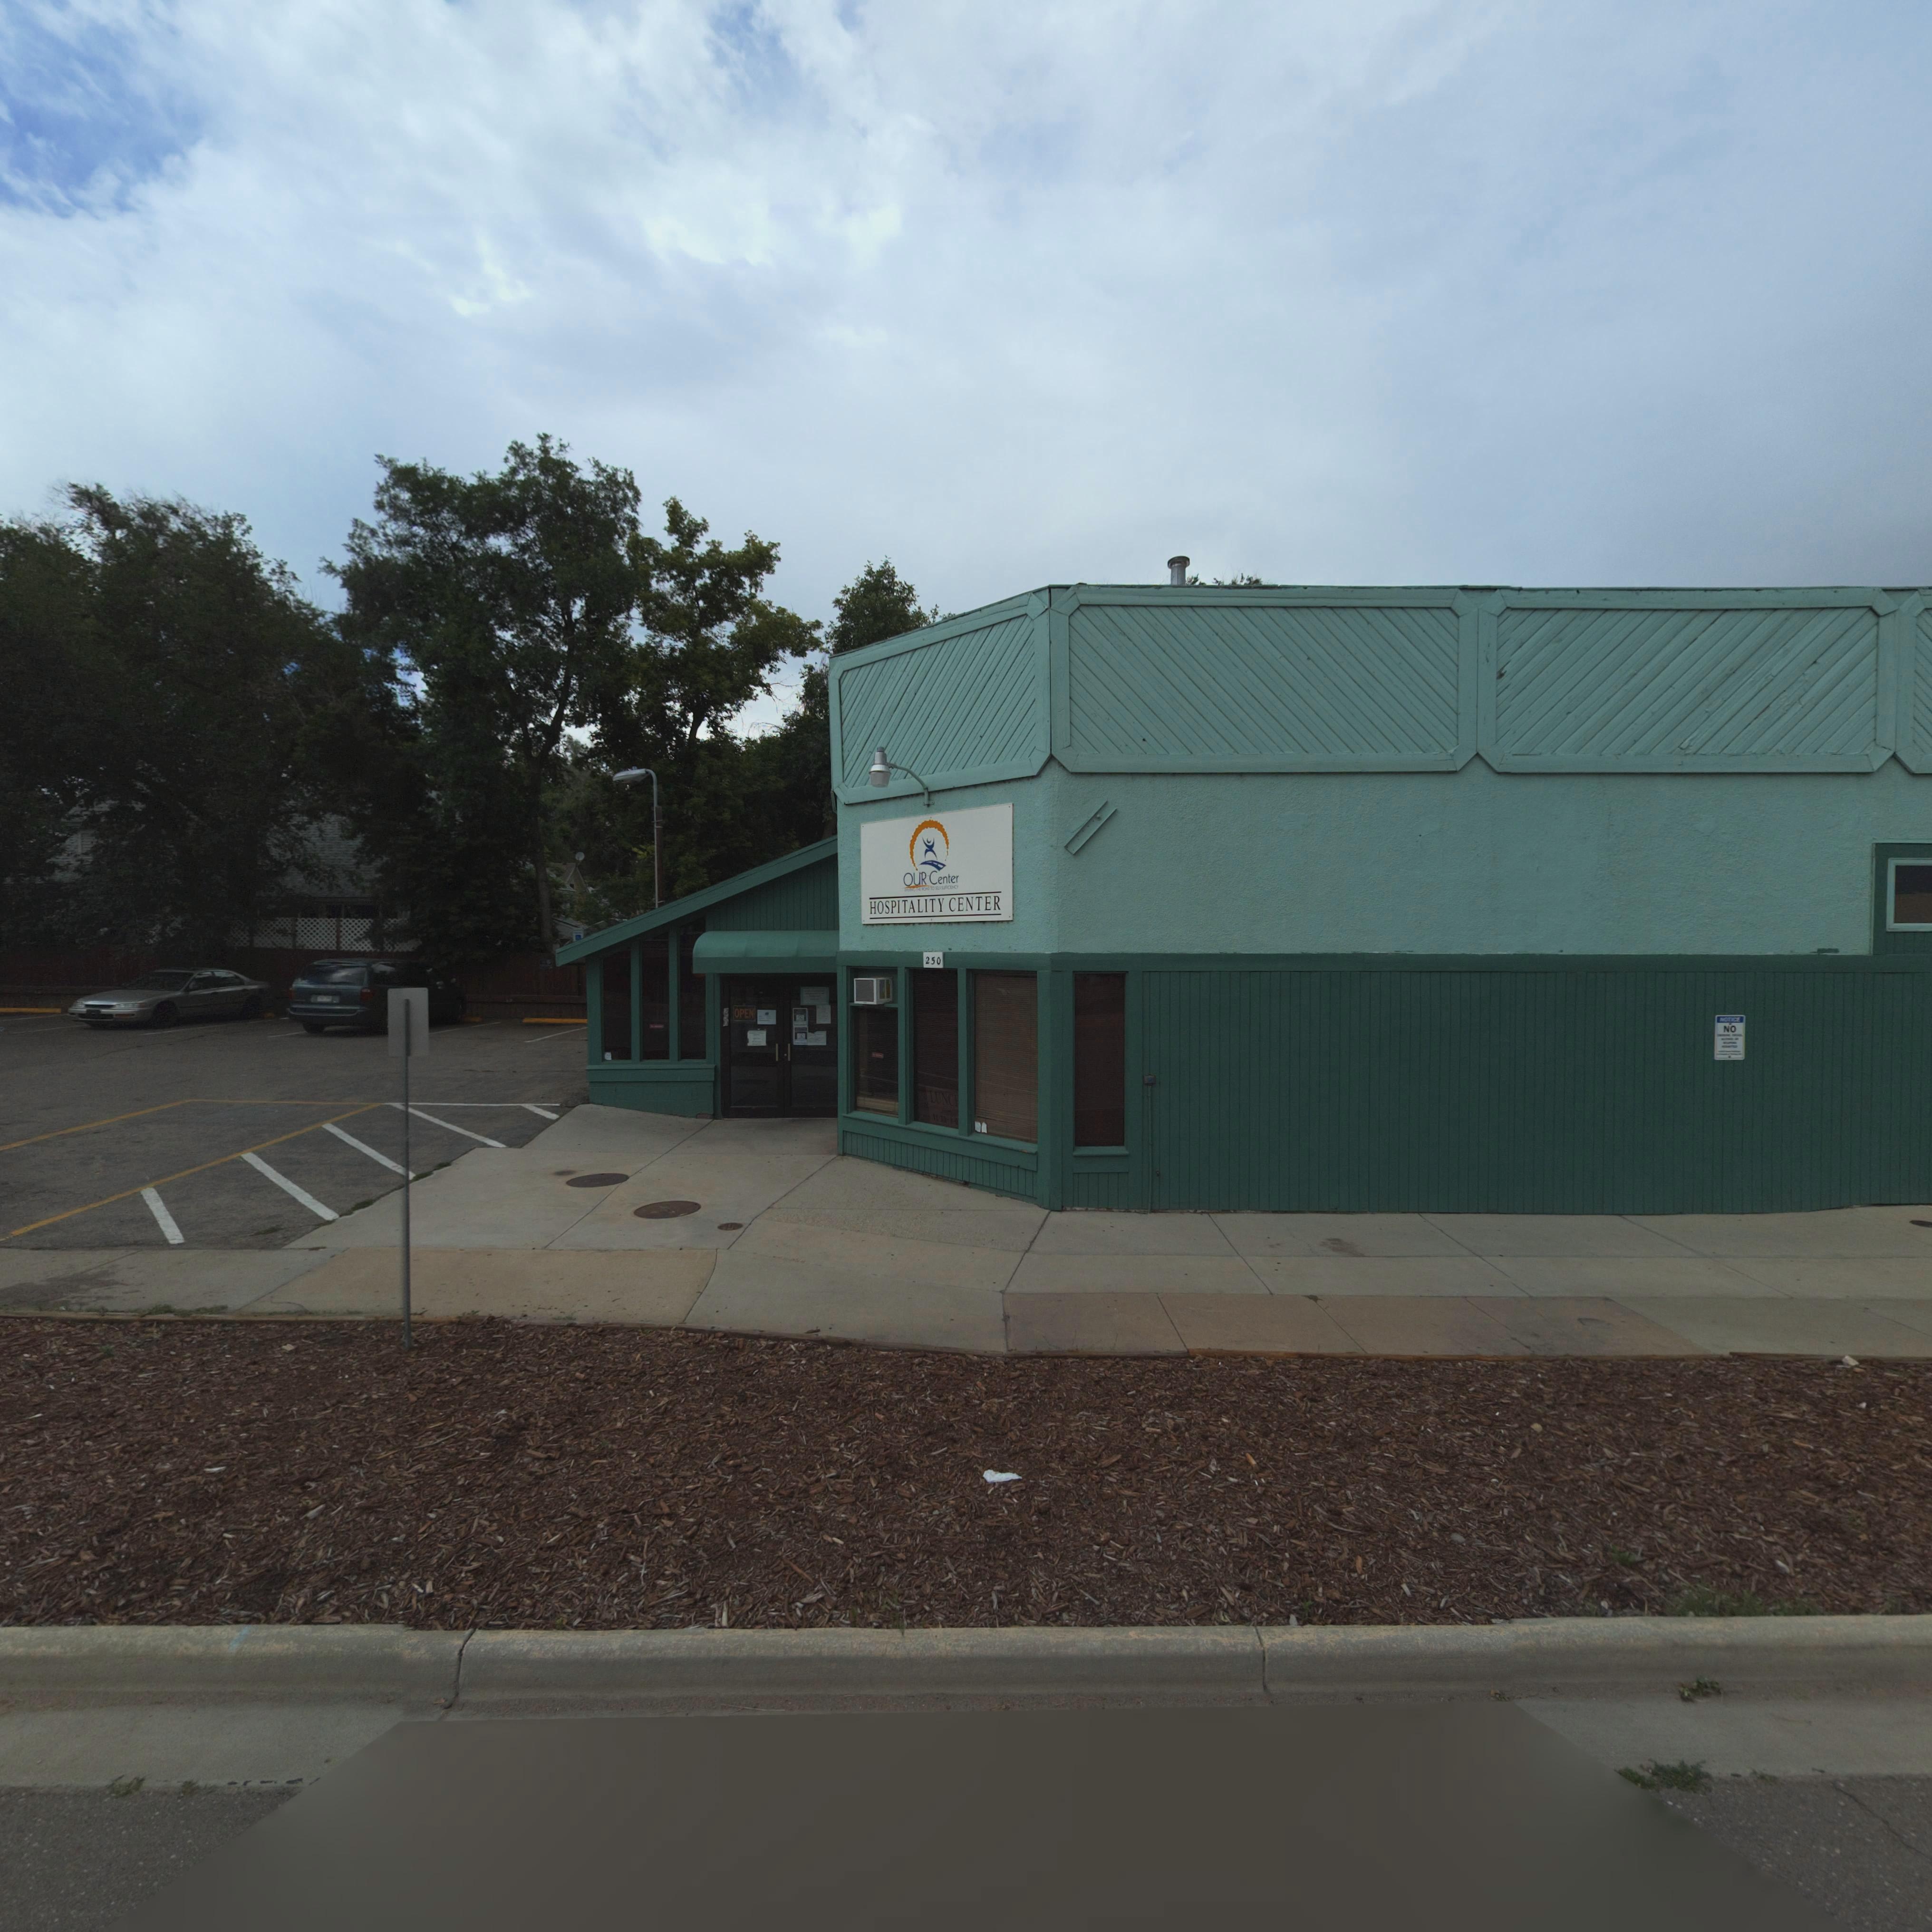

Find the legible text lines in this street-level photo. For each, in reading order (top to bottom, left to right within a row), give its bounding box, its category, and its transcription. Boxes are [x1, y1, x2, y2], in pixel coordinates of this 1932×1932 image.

[903, 869, 959, 887] BusinessName: OUR Center
[925, 956, 941, 965] StreetNumber: 250